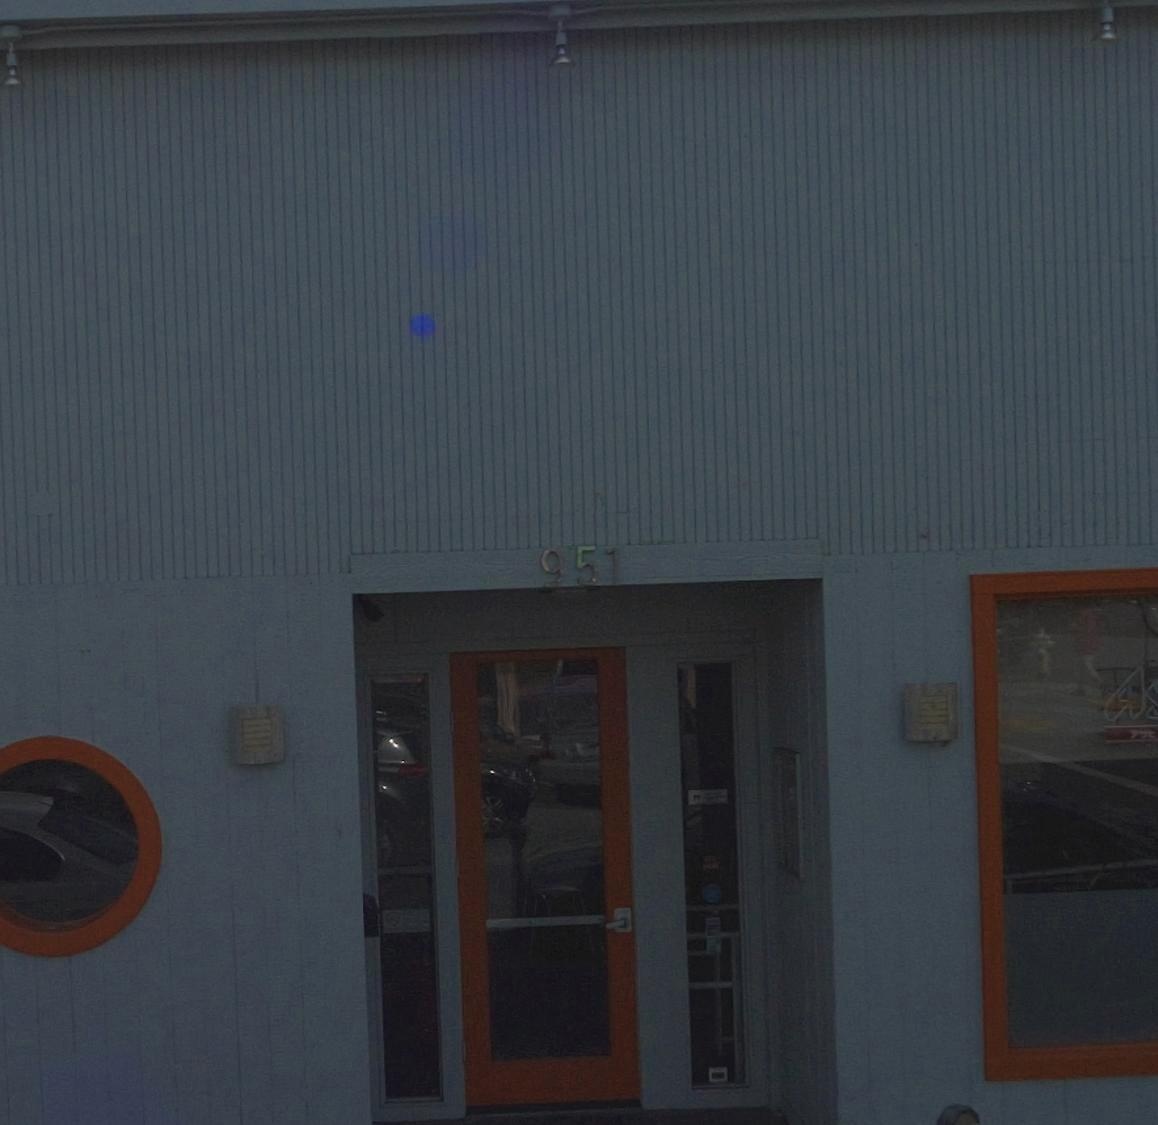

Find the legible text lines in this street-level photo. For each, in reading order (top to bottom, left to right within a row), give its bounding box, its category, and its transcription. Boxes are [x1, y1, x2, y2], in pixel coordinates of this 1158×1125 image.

[541, 544, 622, 589] StreetNumber: 951
[1101, 664, 1146, 722] None: A